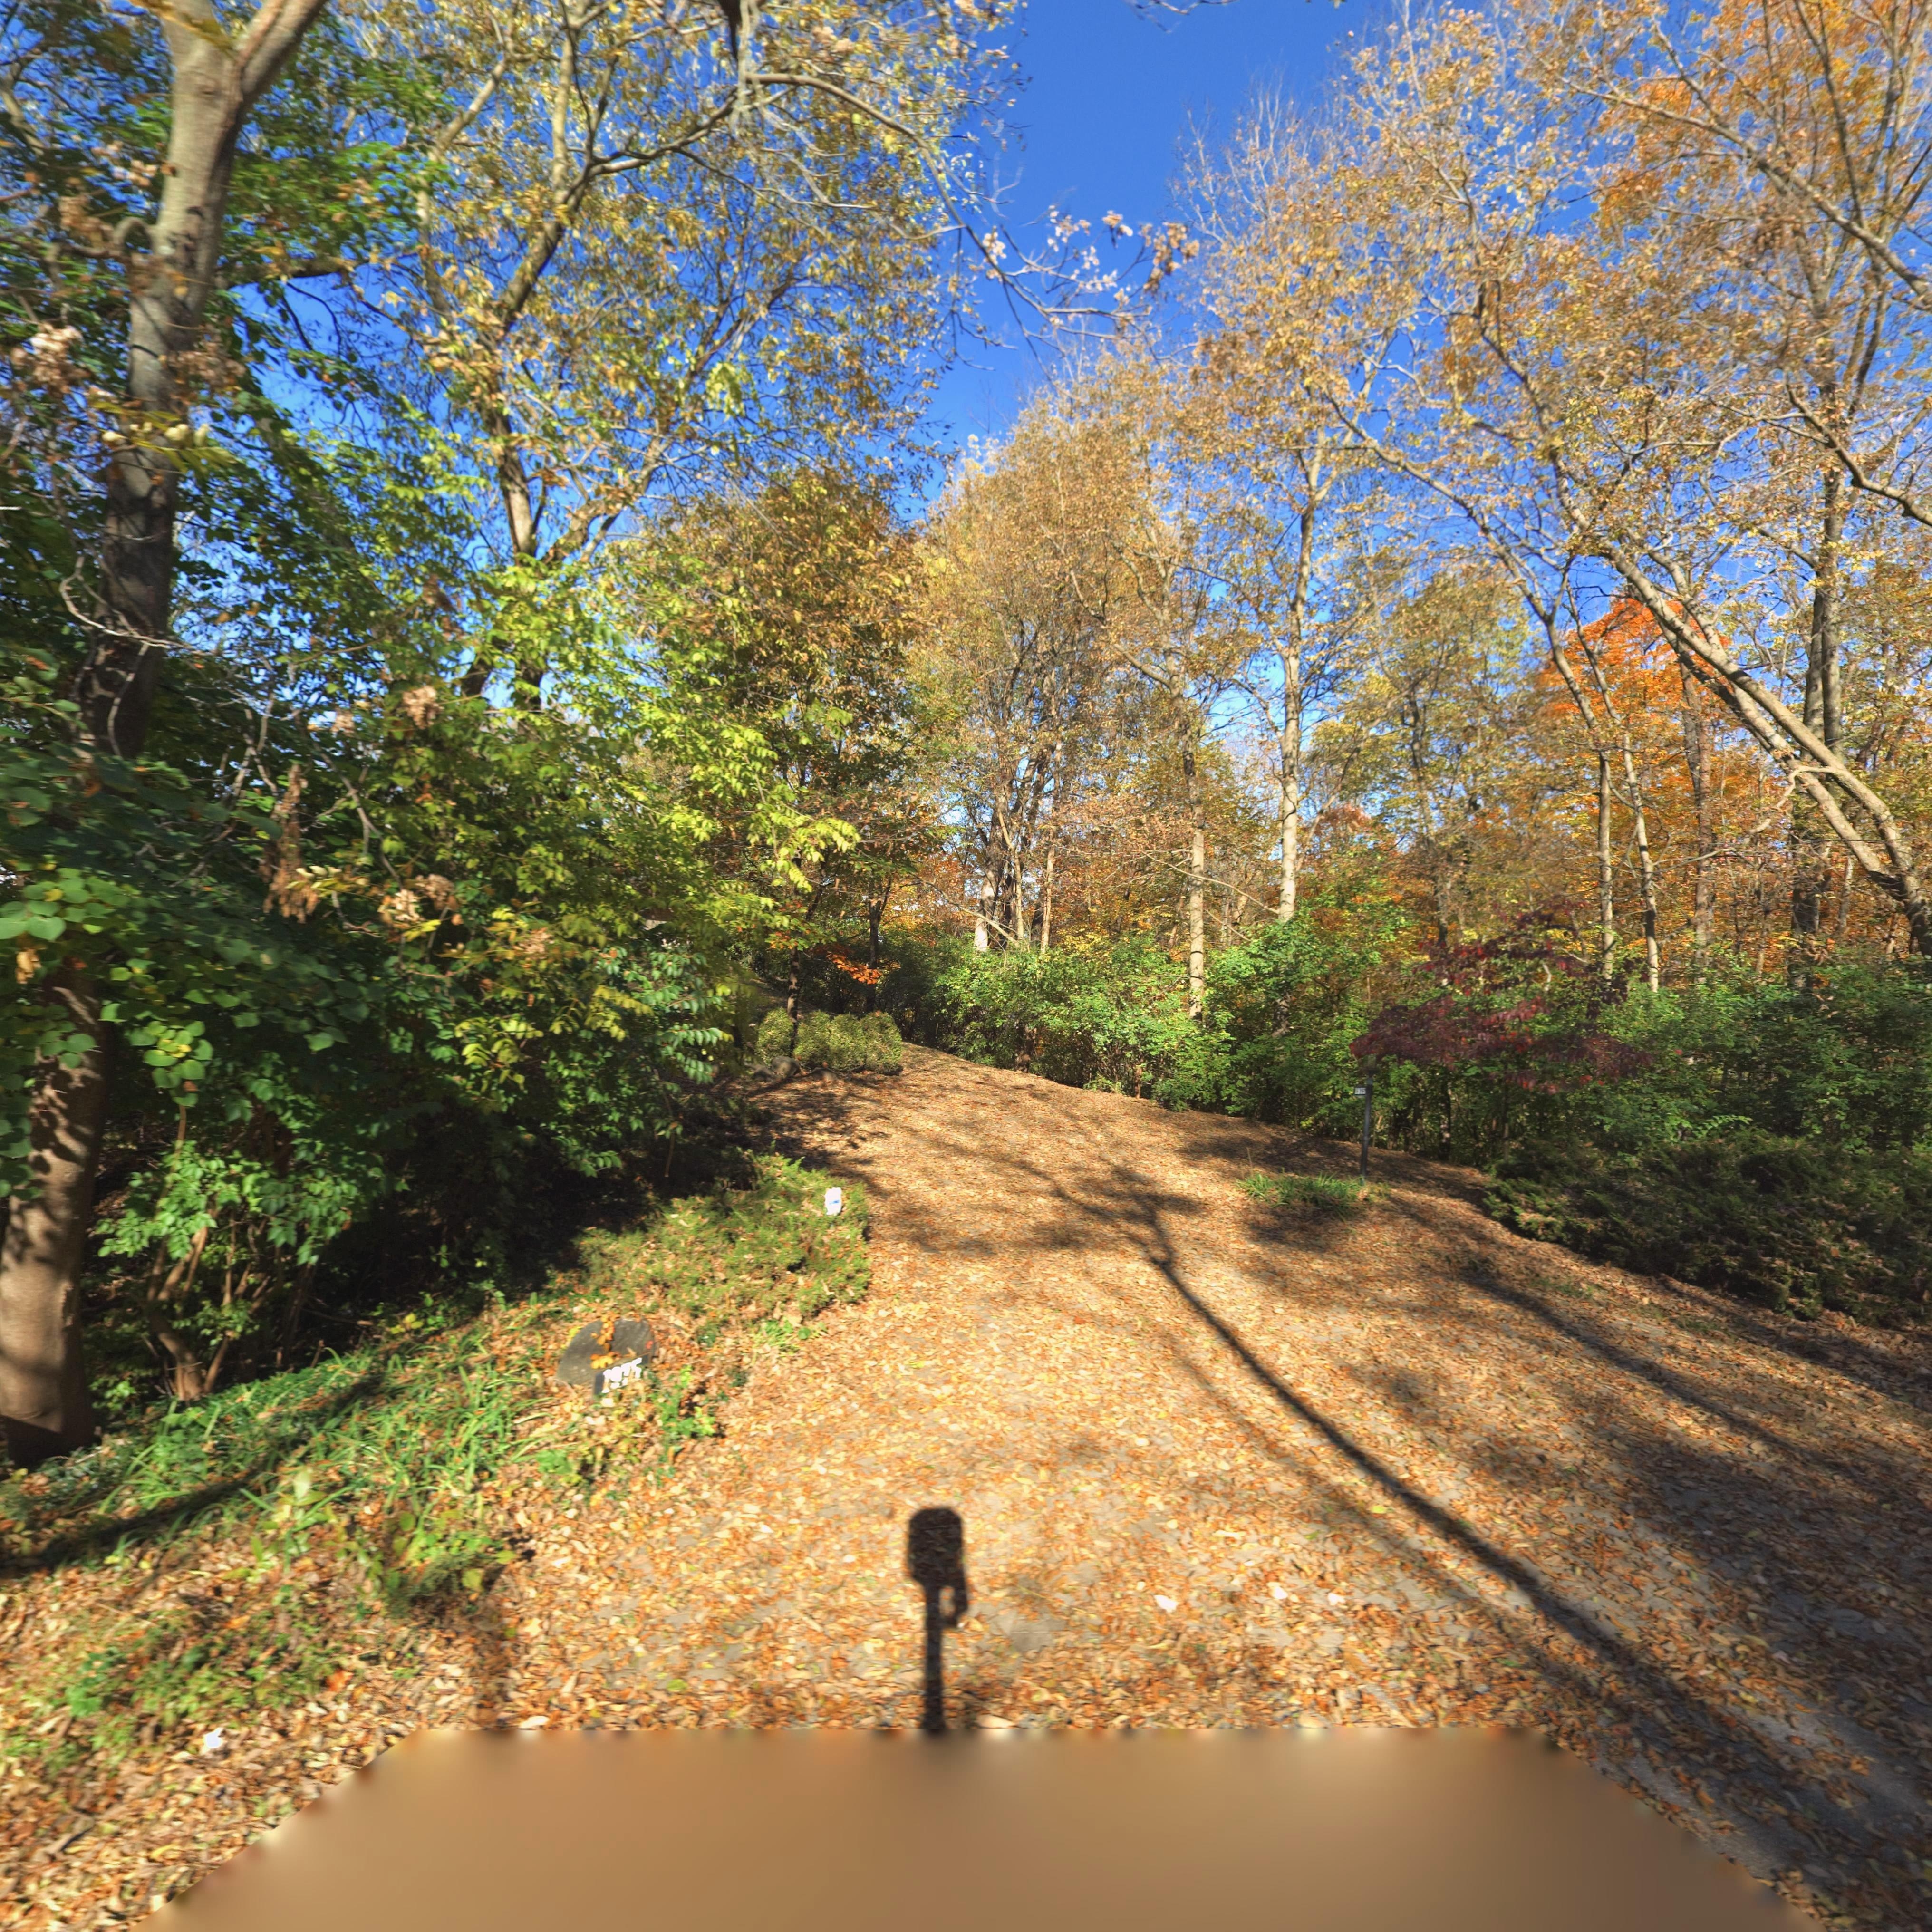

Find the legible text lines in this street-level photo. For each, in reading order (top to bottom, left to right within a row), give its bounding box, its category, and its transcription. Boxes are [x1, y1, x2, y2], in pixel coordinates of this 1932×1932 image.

[599, 1354, 645, 1398] StreetNumber: 19**